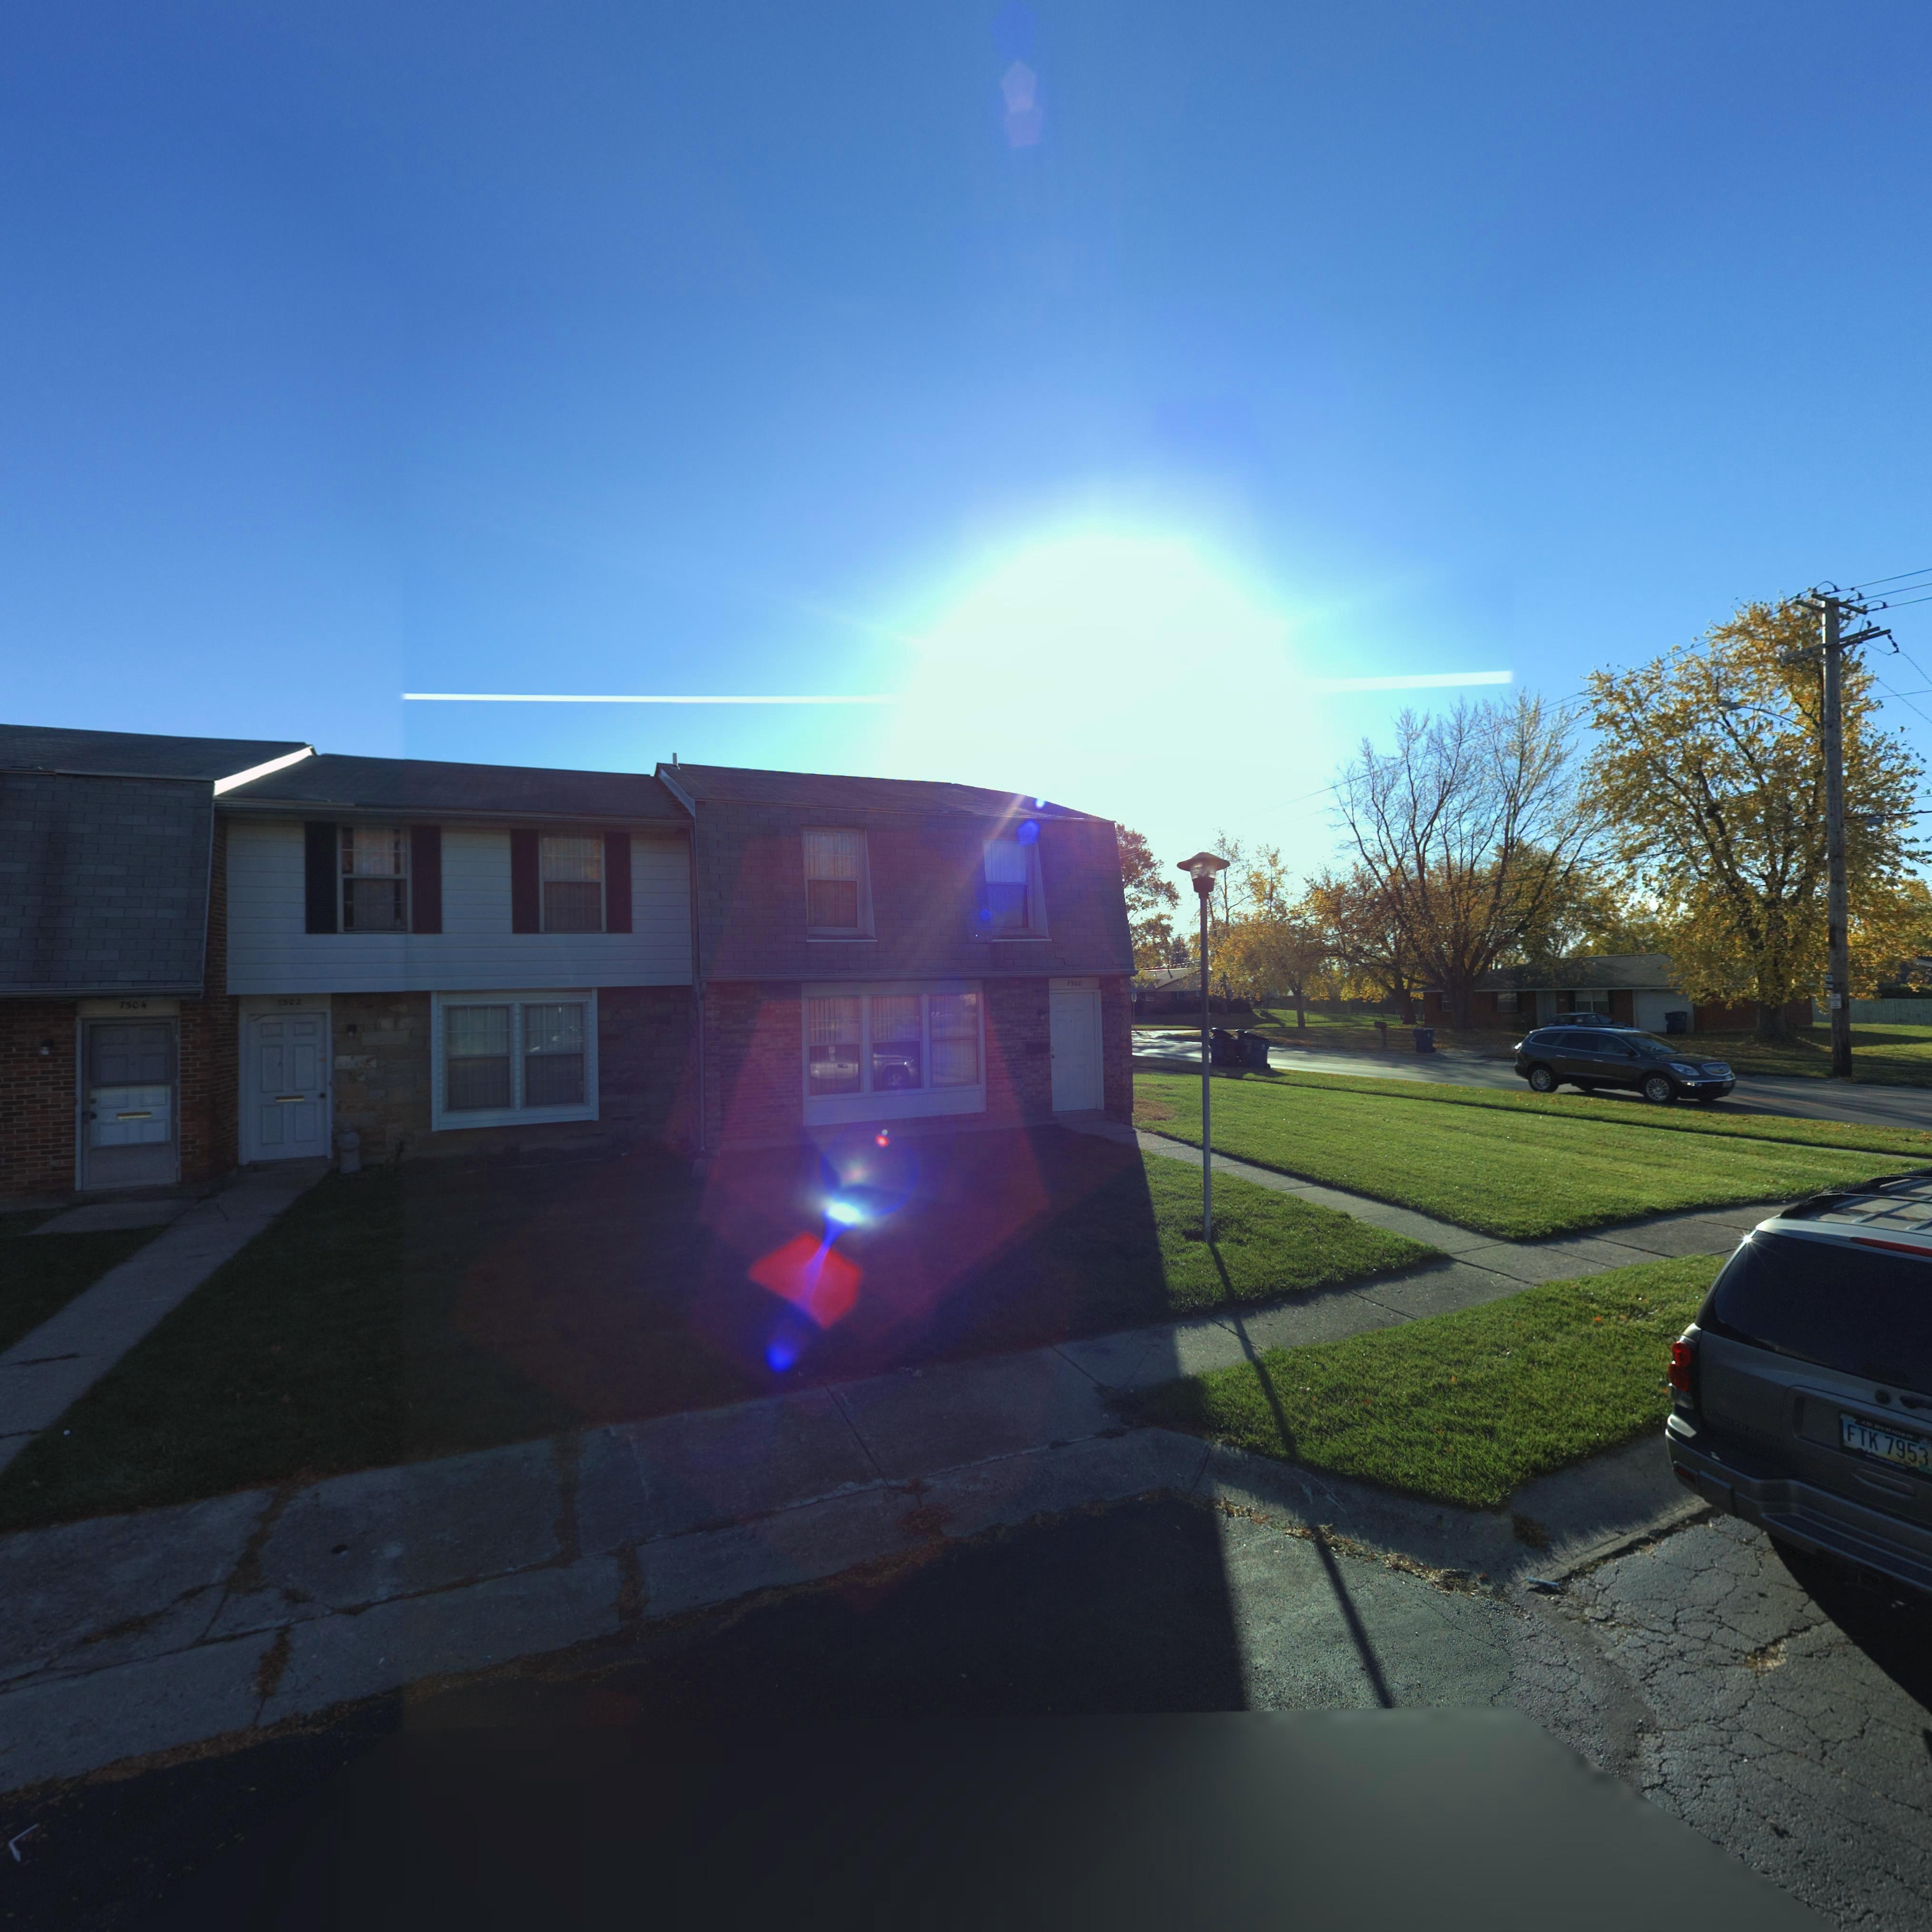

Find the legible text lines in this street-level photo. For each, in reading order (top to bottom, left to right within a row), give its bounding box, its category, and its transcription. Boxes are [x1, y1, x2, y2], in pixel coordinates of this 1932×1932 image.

[1066, 980, 1083, 987] StreetNumber: 7500
[117, 999, 149, 1011] StreetNumber: 7504
[276, 996, 303, 1008] StreetNumber: 7502